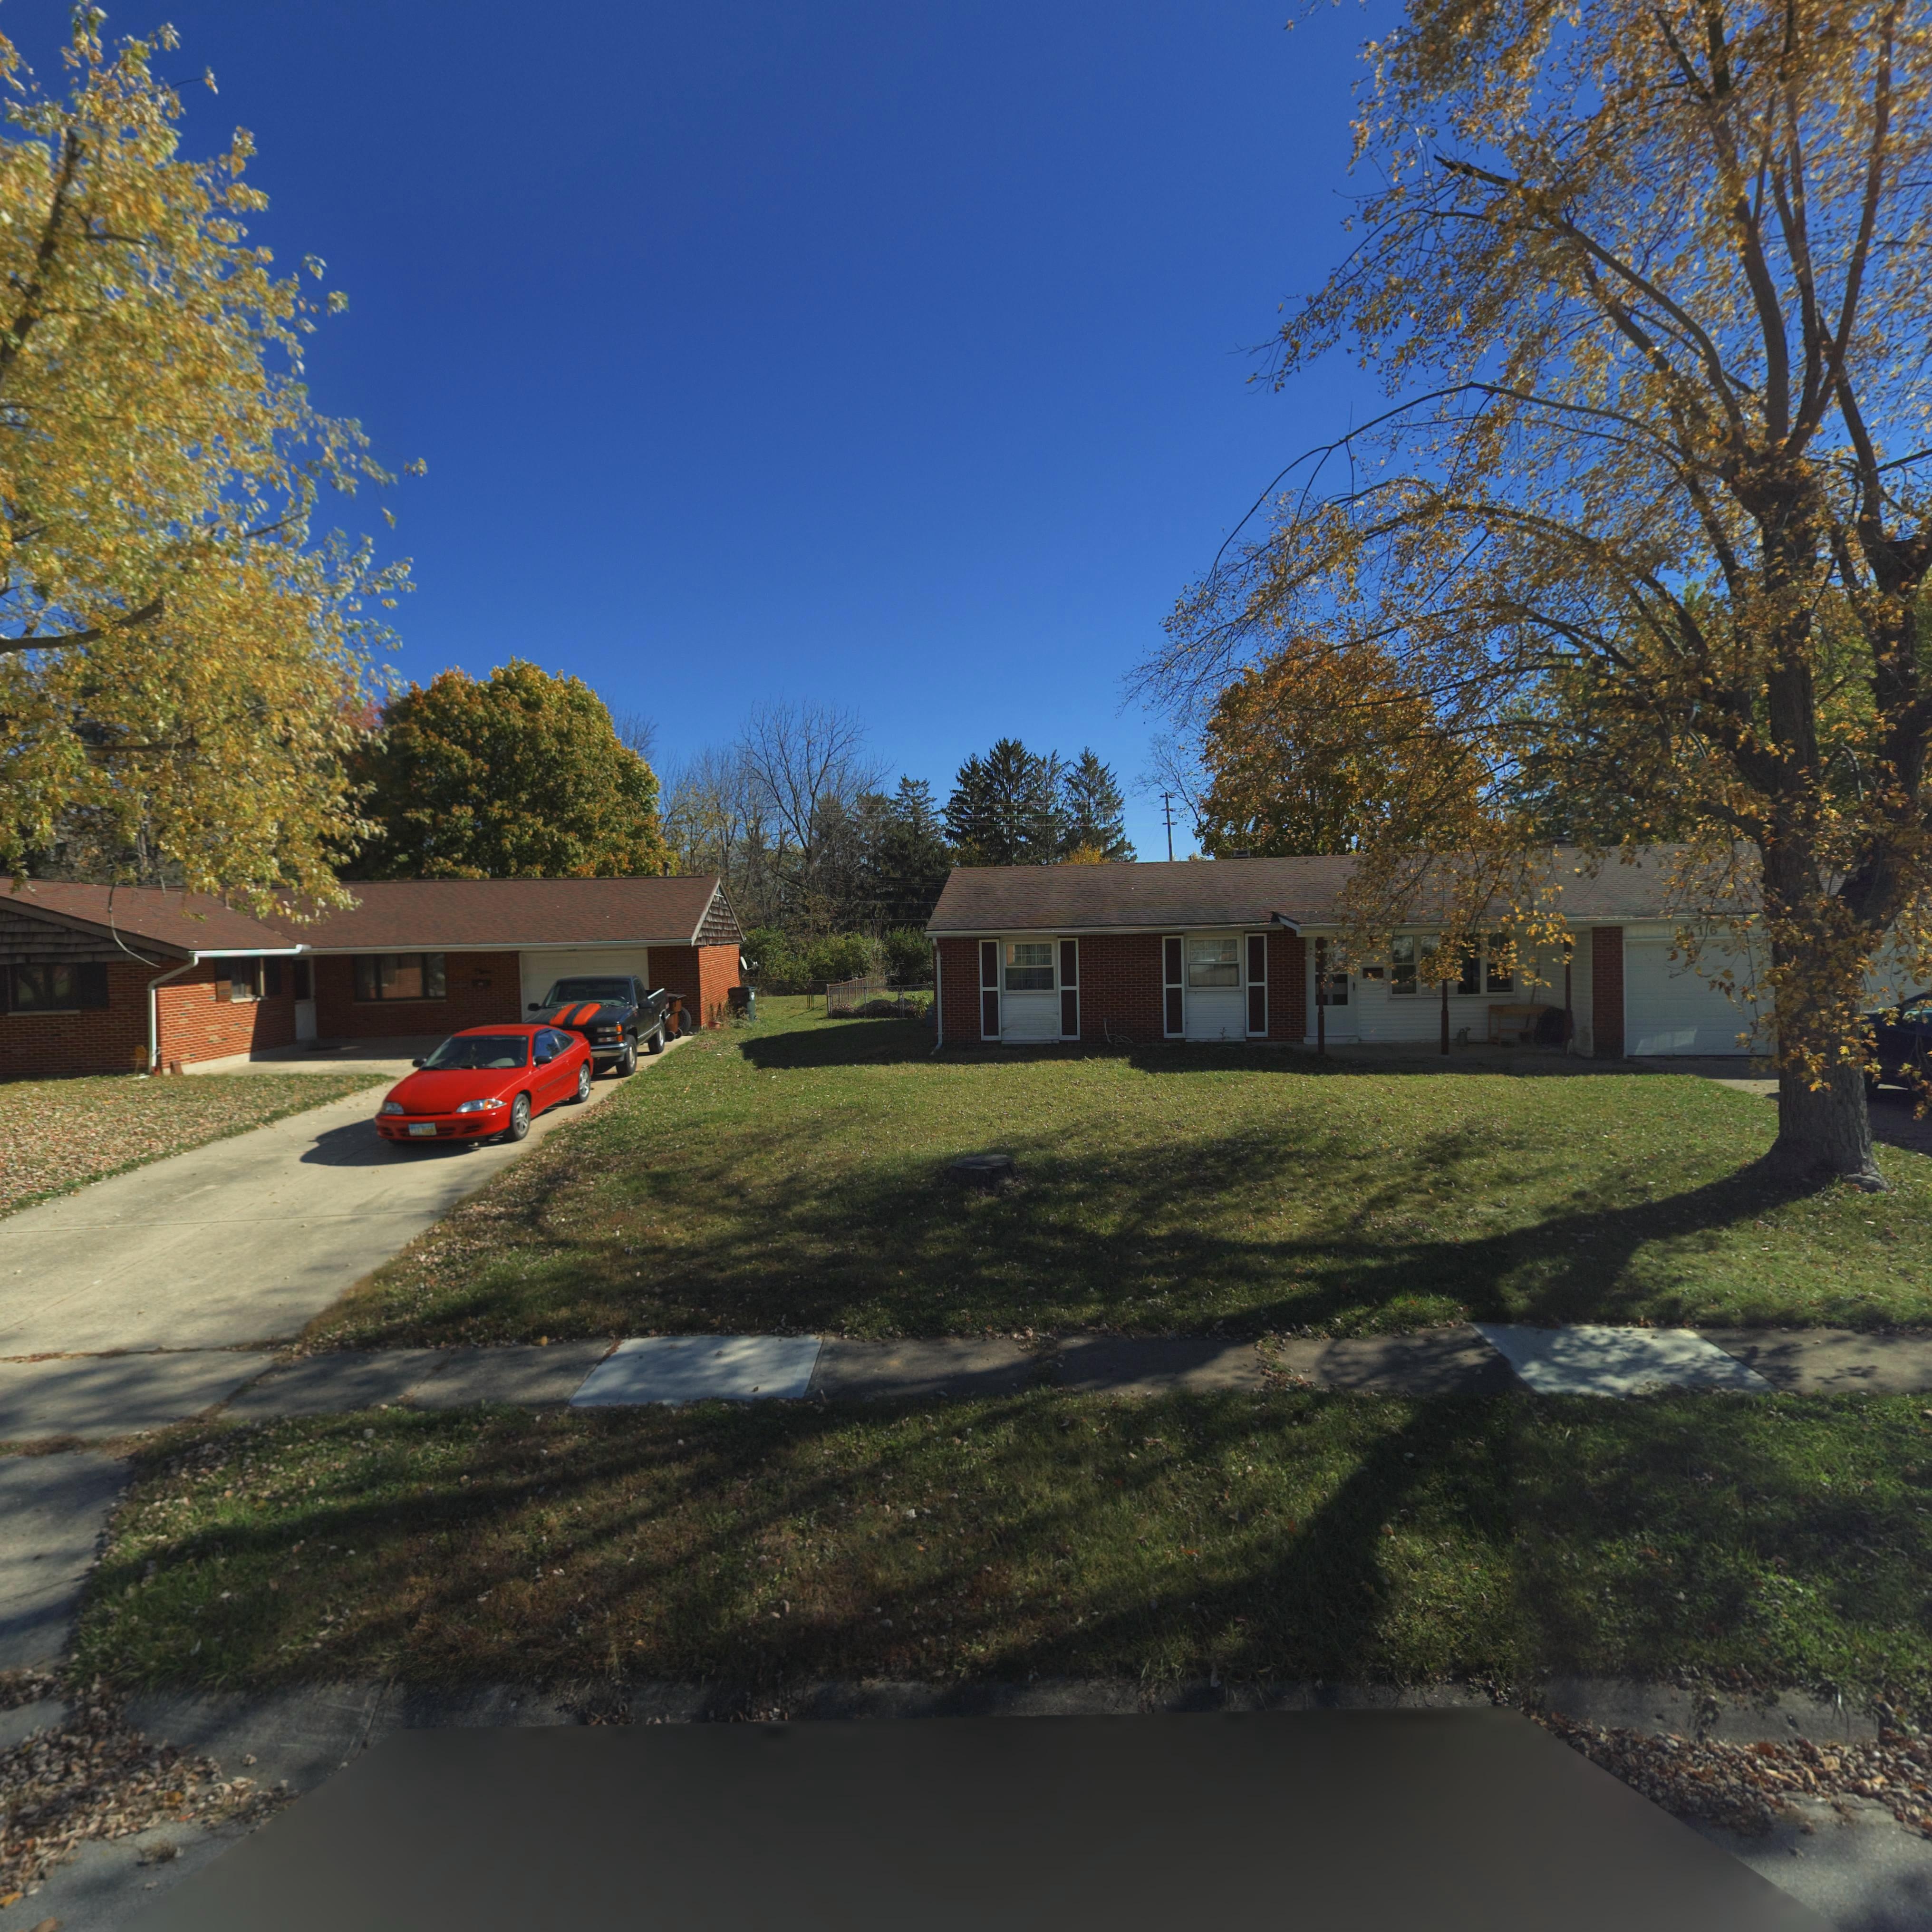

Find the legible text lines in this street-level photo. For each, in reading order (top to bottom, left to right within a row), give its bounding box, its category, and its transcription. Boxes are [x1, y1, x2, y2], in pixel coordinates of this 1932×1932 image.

[1697, 924, 1719, 937] StreetNumber: 1*6